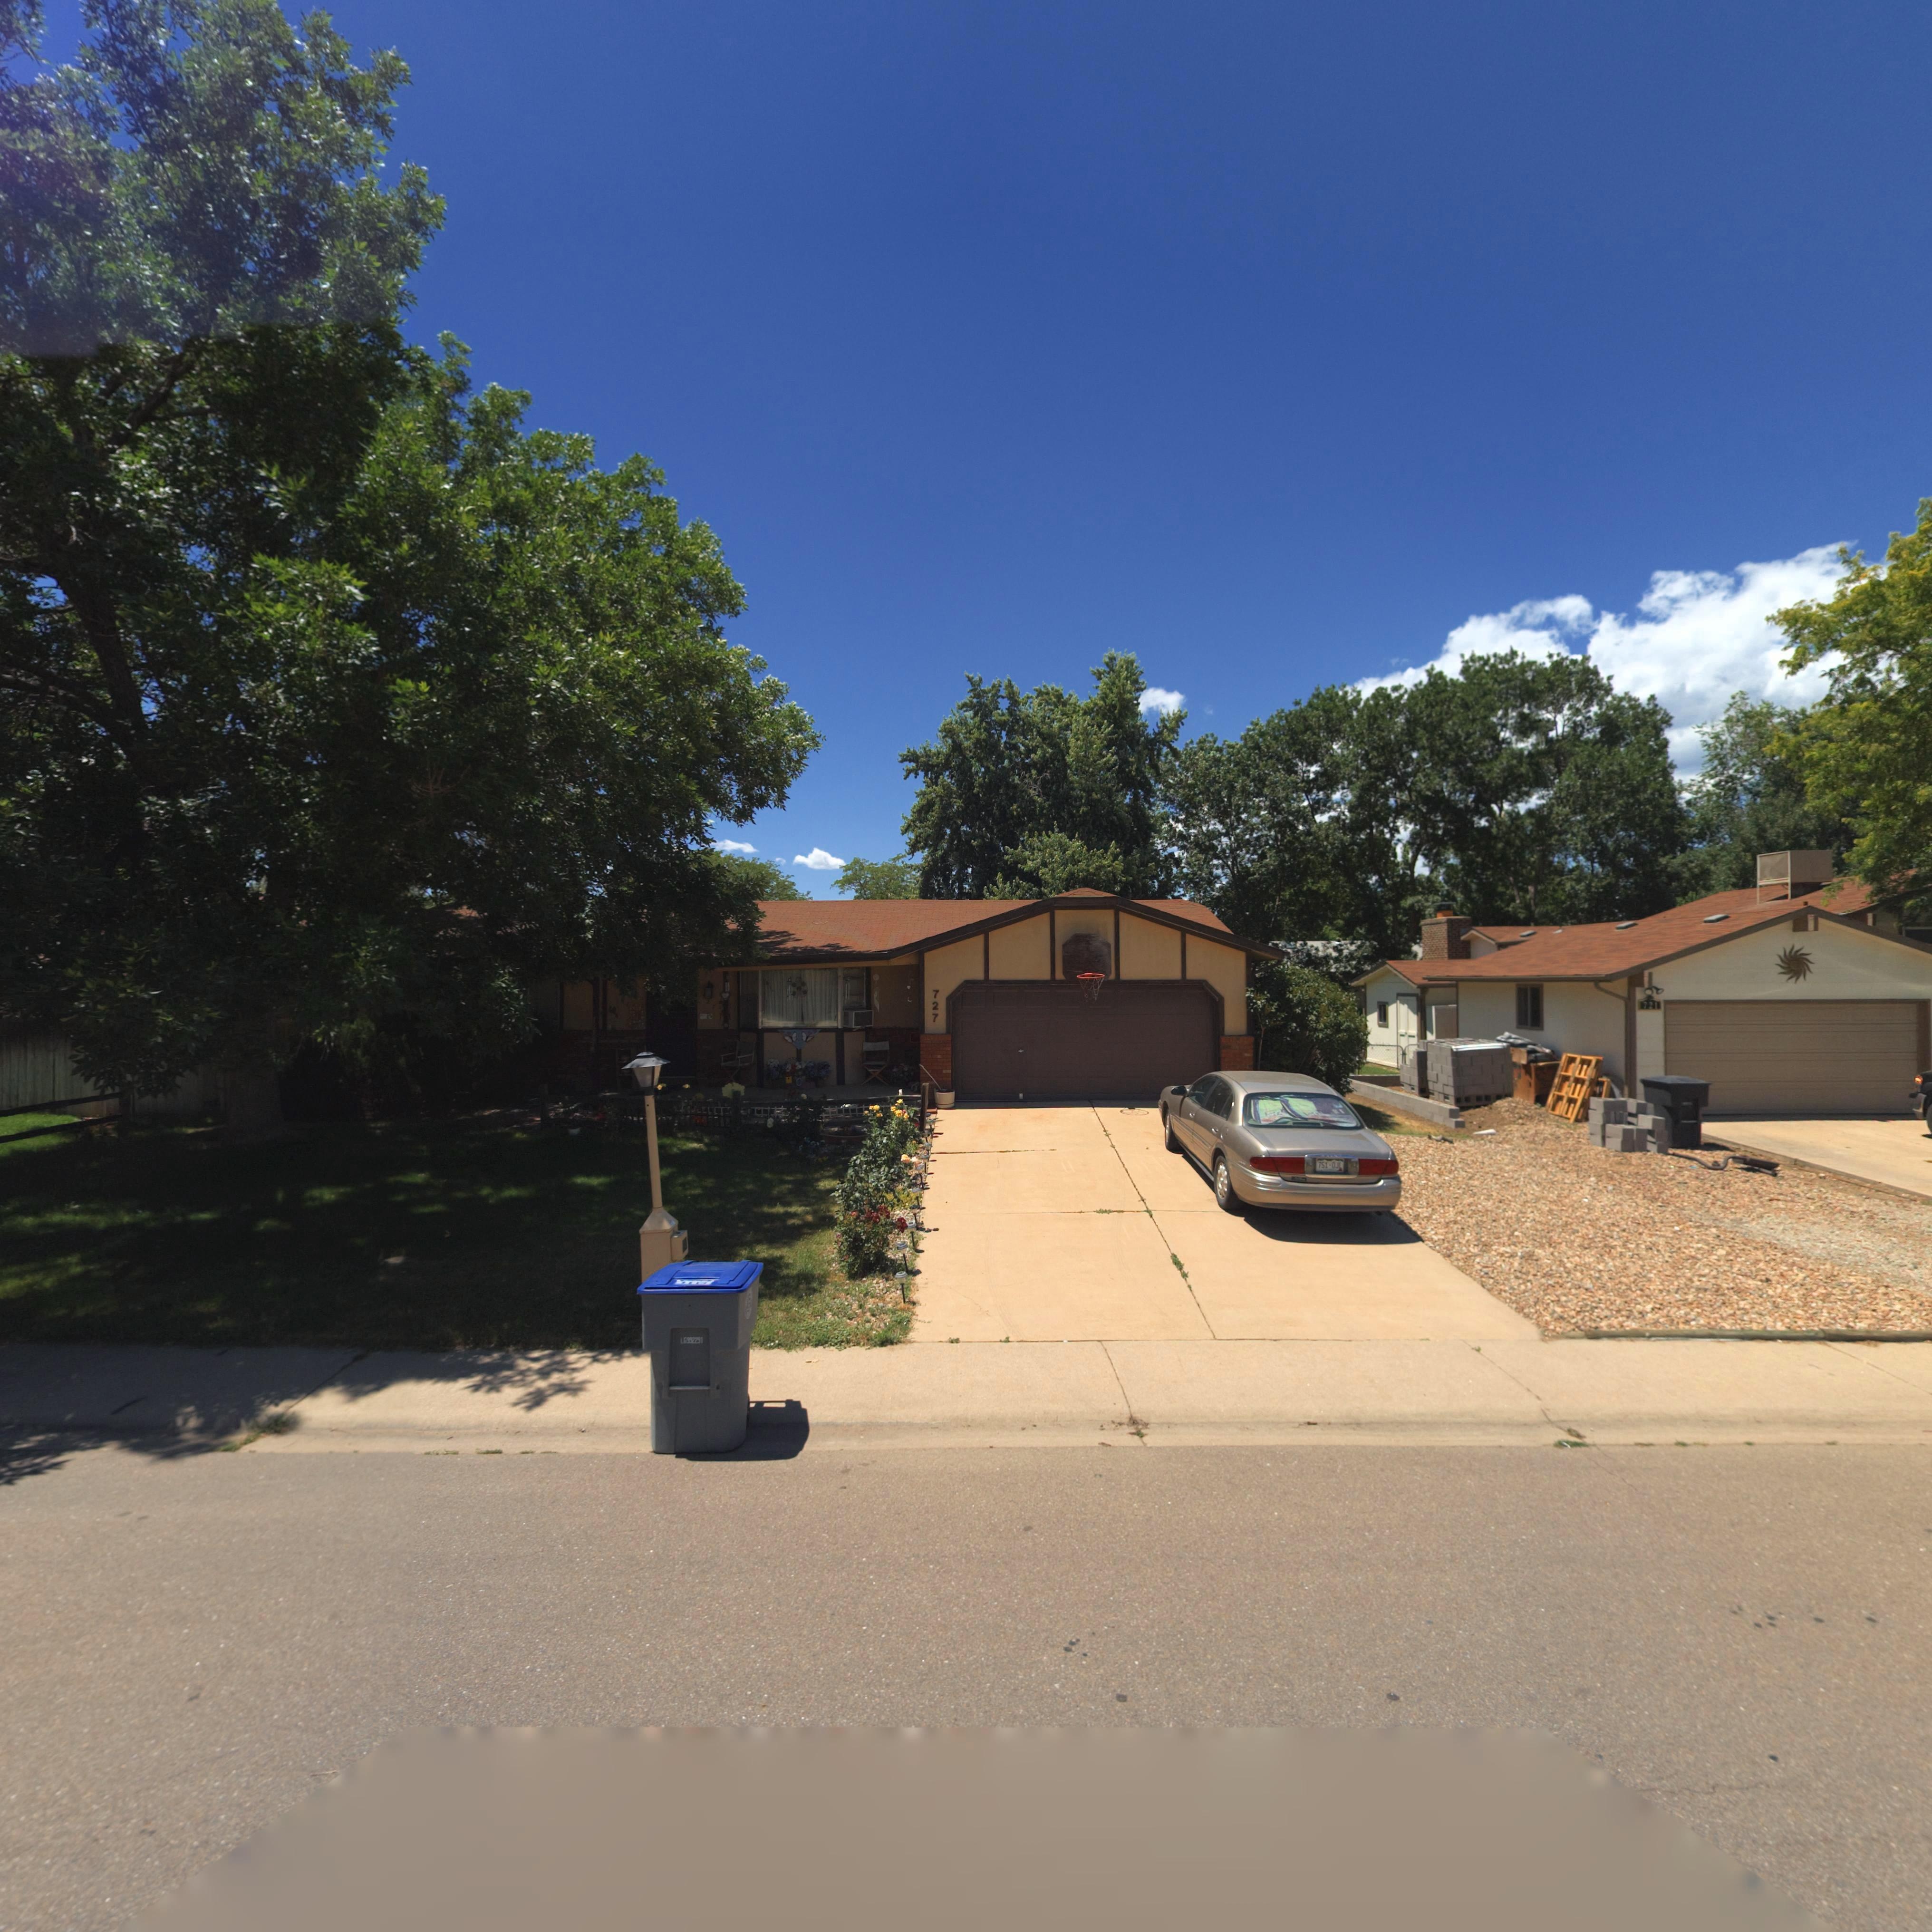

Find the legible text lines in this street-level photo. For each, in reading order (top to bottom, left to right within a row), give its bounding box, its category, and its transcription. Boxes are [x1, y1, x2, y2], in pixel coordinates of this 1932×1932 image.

[930, 988, 940, 1023] StreetNumber: 727
[1642, 1000, 1658, 1010] StreetNumber: 721